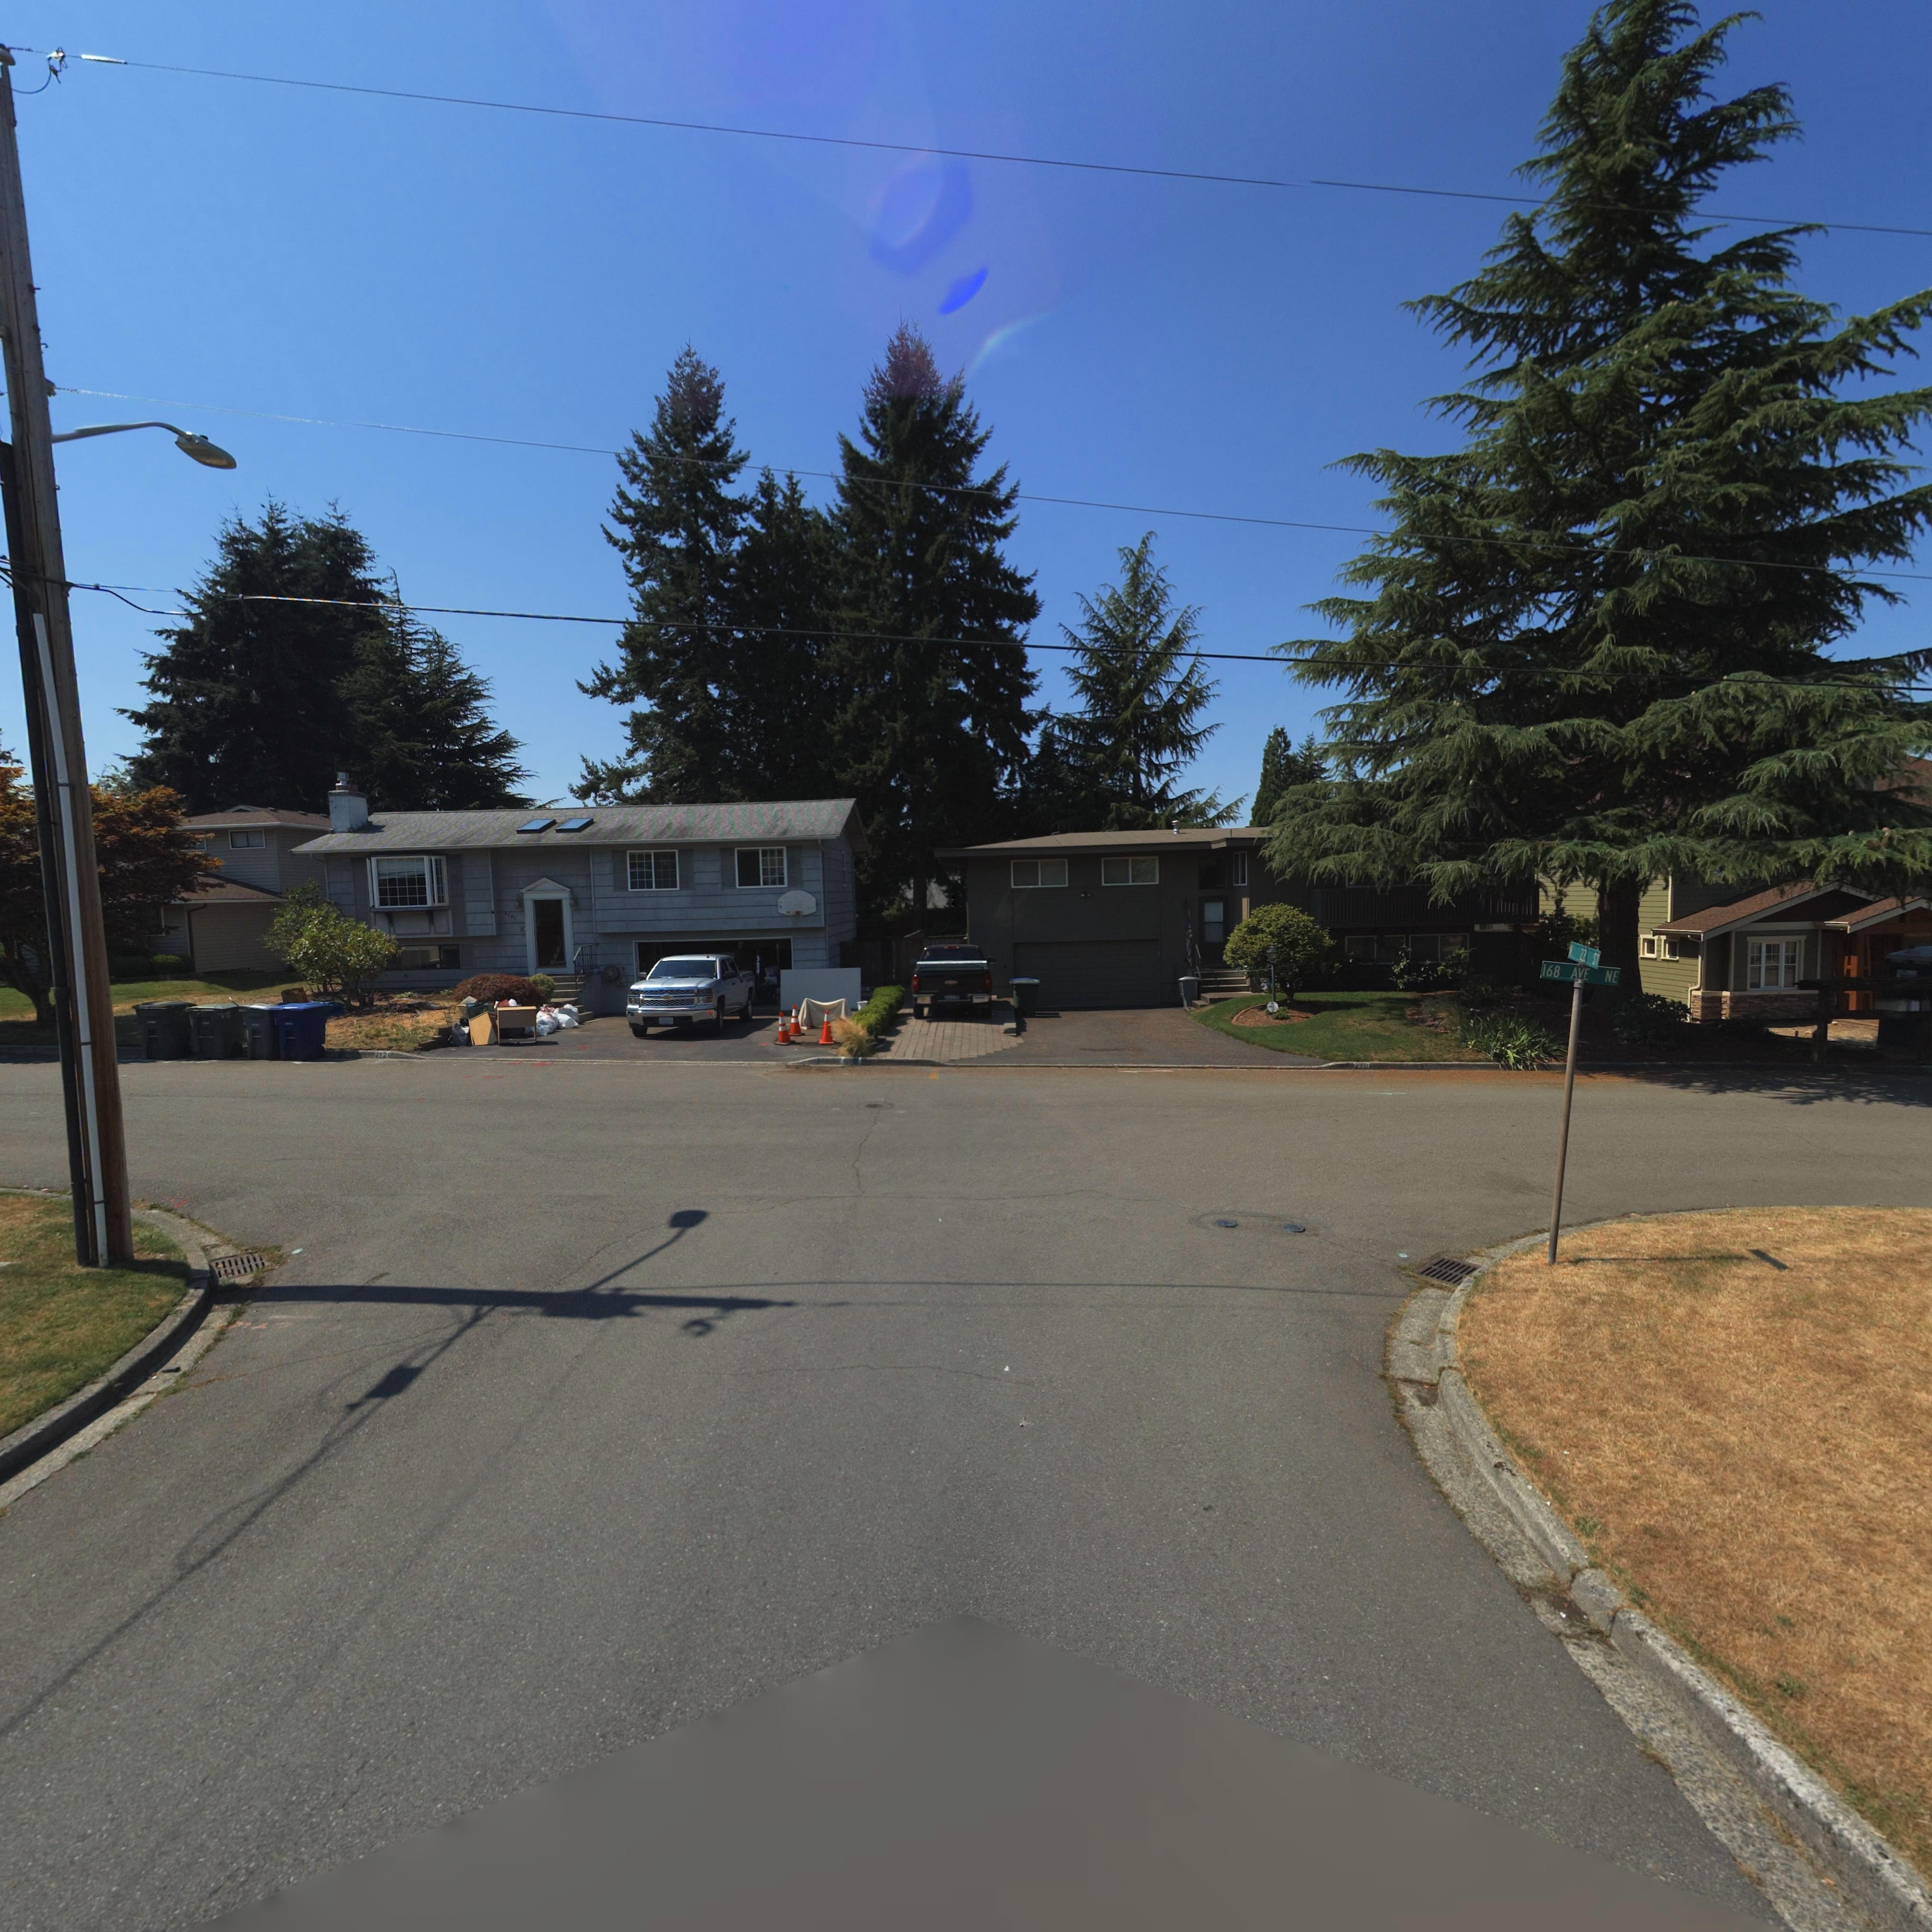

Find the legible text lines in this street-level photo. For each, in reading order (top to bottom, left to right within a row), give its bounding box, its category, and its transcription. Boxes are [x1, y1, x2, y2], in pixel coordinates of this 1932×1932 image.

[1542, 964, 1618, 983] StreetName: 168 AVE NE